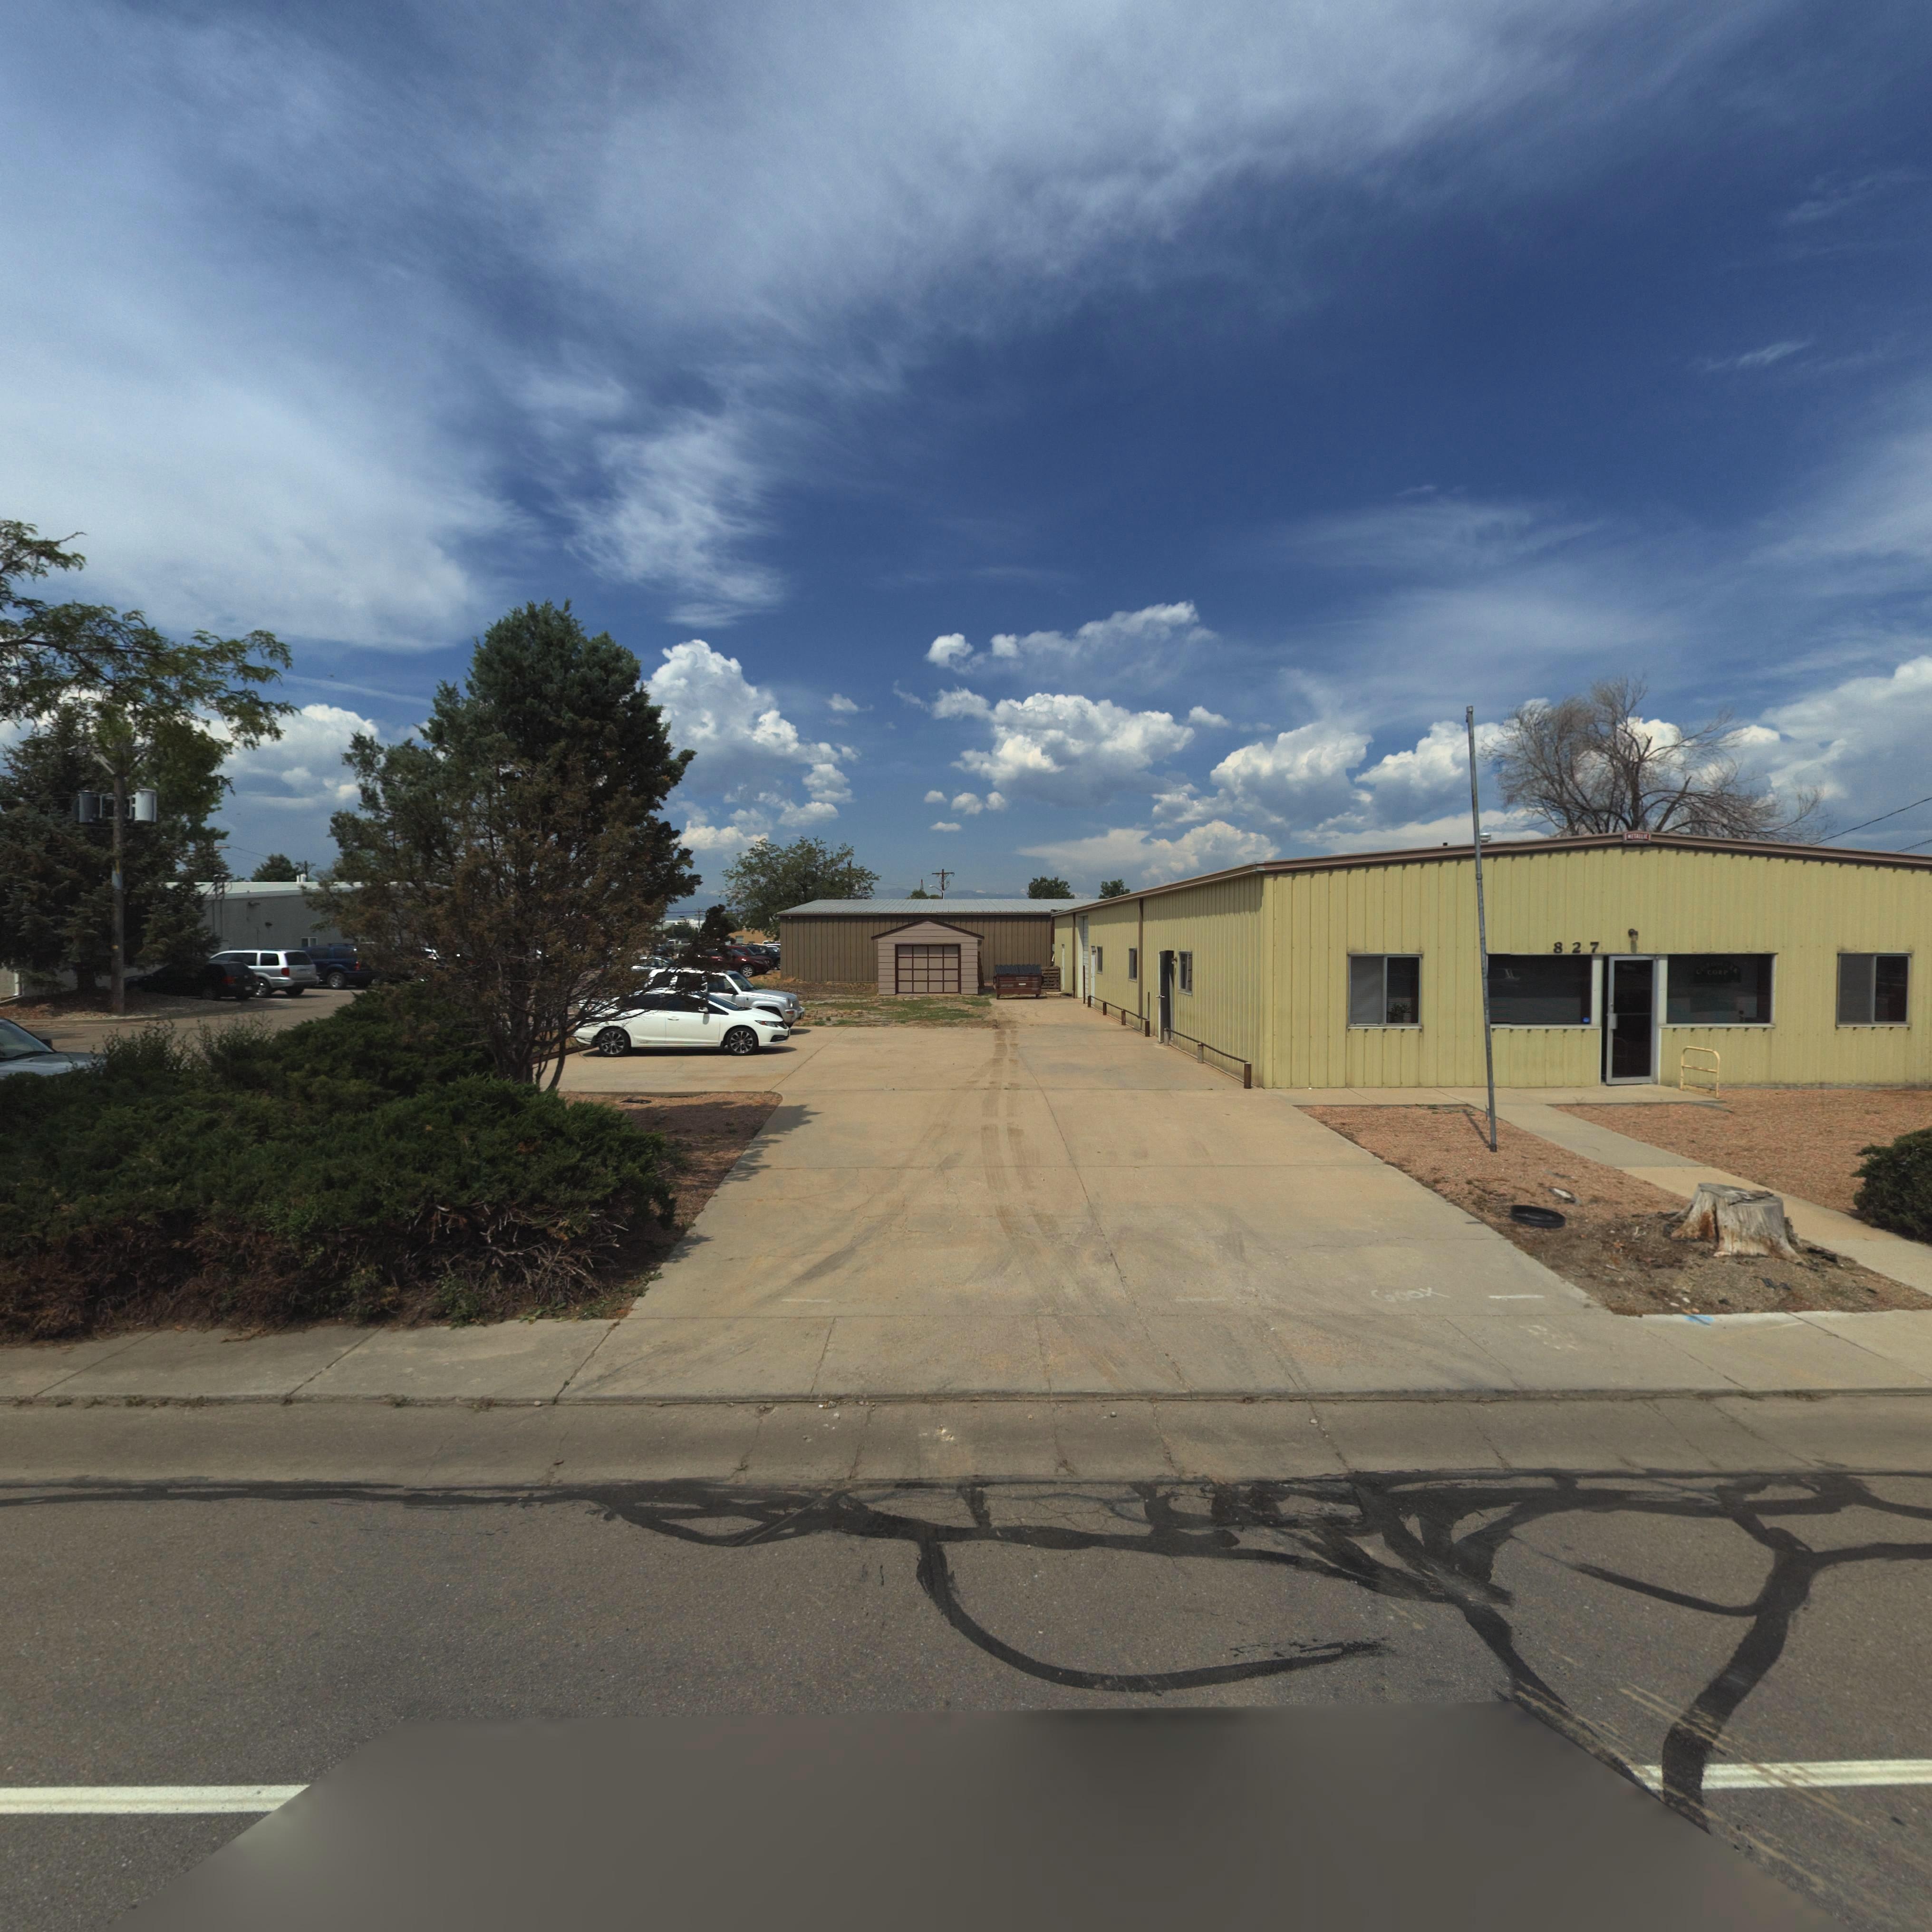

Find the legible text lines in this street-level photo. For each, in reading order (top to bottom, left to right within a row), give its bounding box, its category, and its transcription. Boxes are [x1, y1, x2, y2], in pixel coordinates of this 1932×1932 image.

[1553, 941, 1599, 954] StreetNumber: 827
[1695, 960, 1740, 975] BusinessName: CH*****K
[1707, 969, 1728, 976] BusinessName: CORP